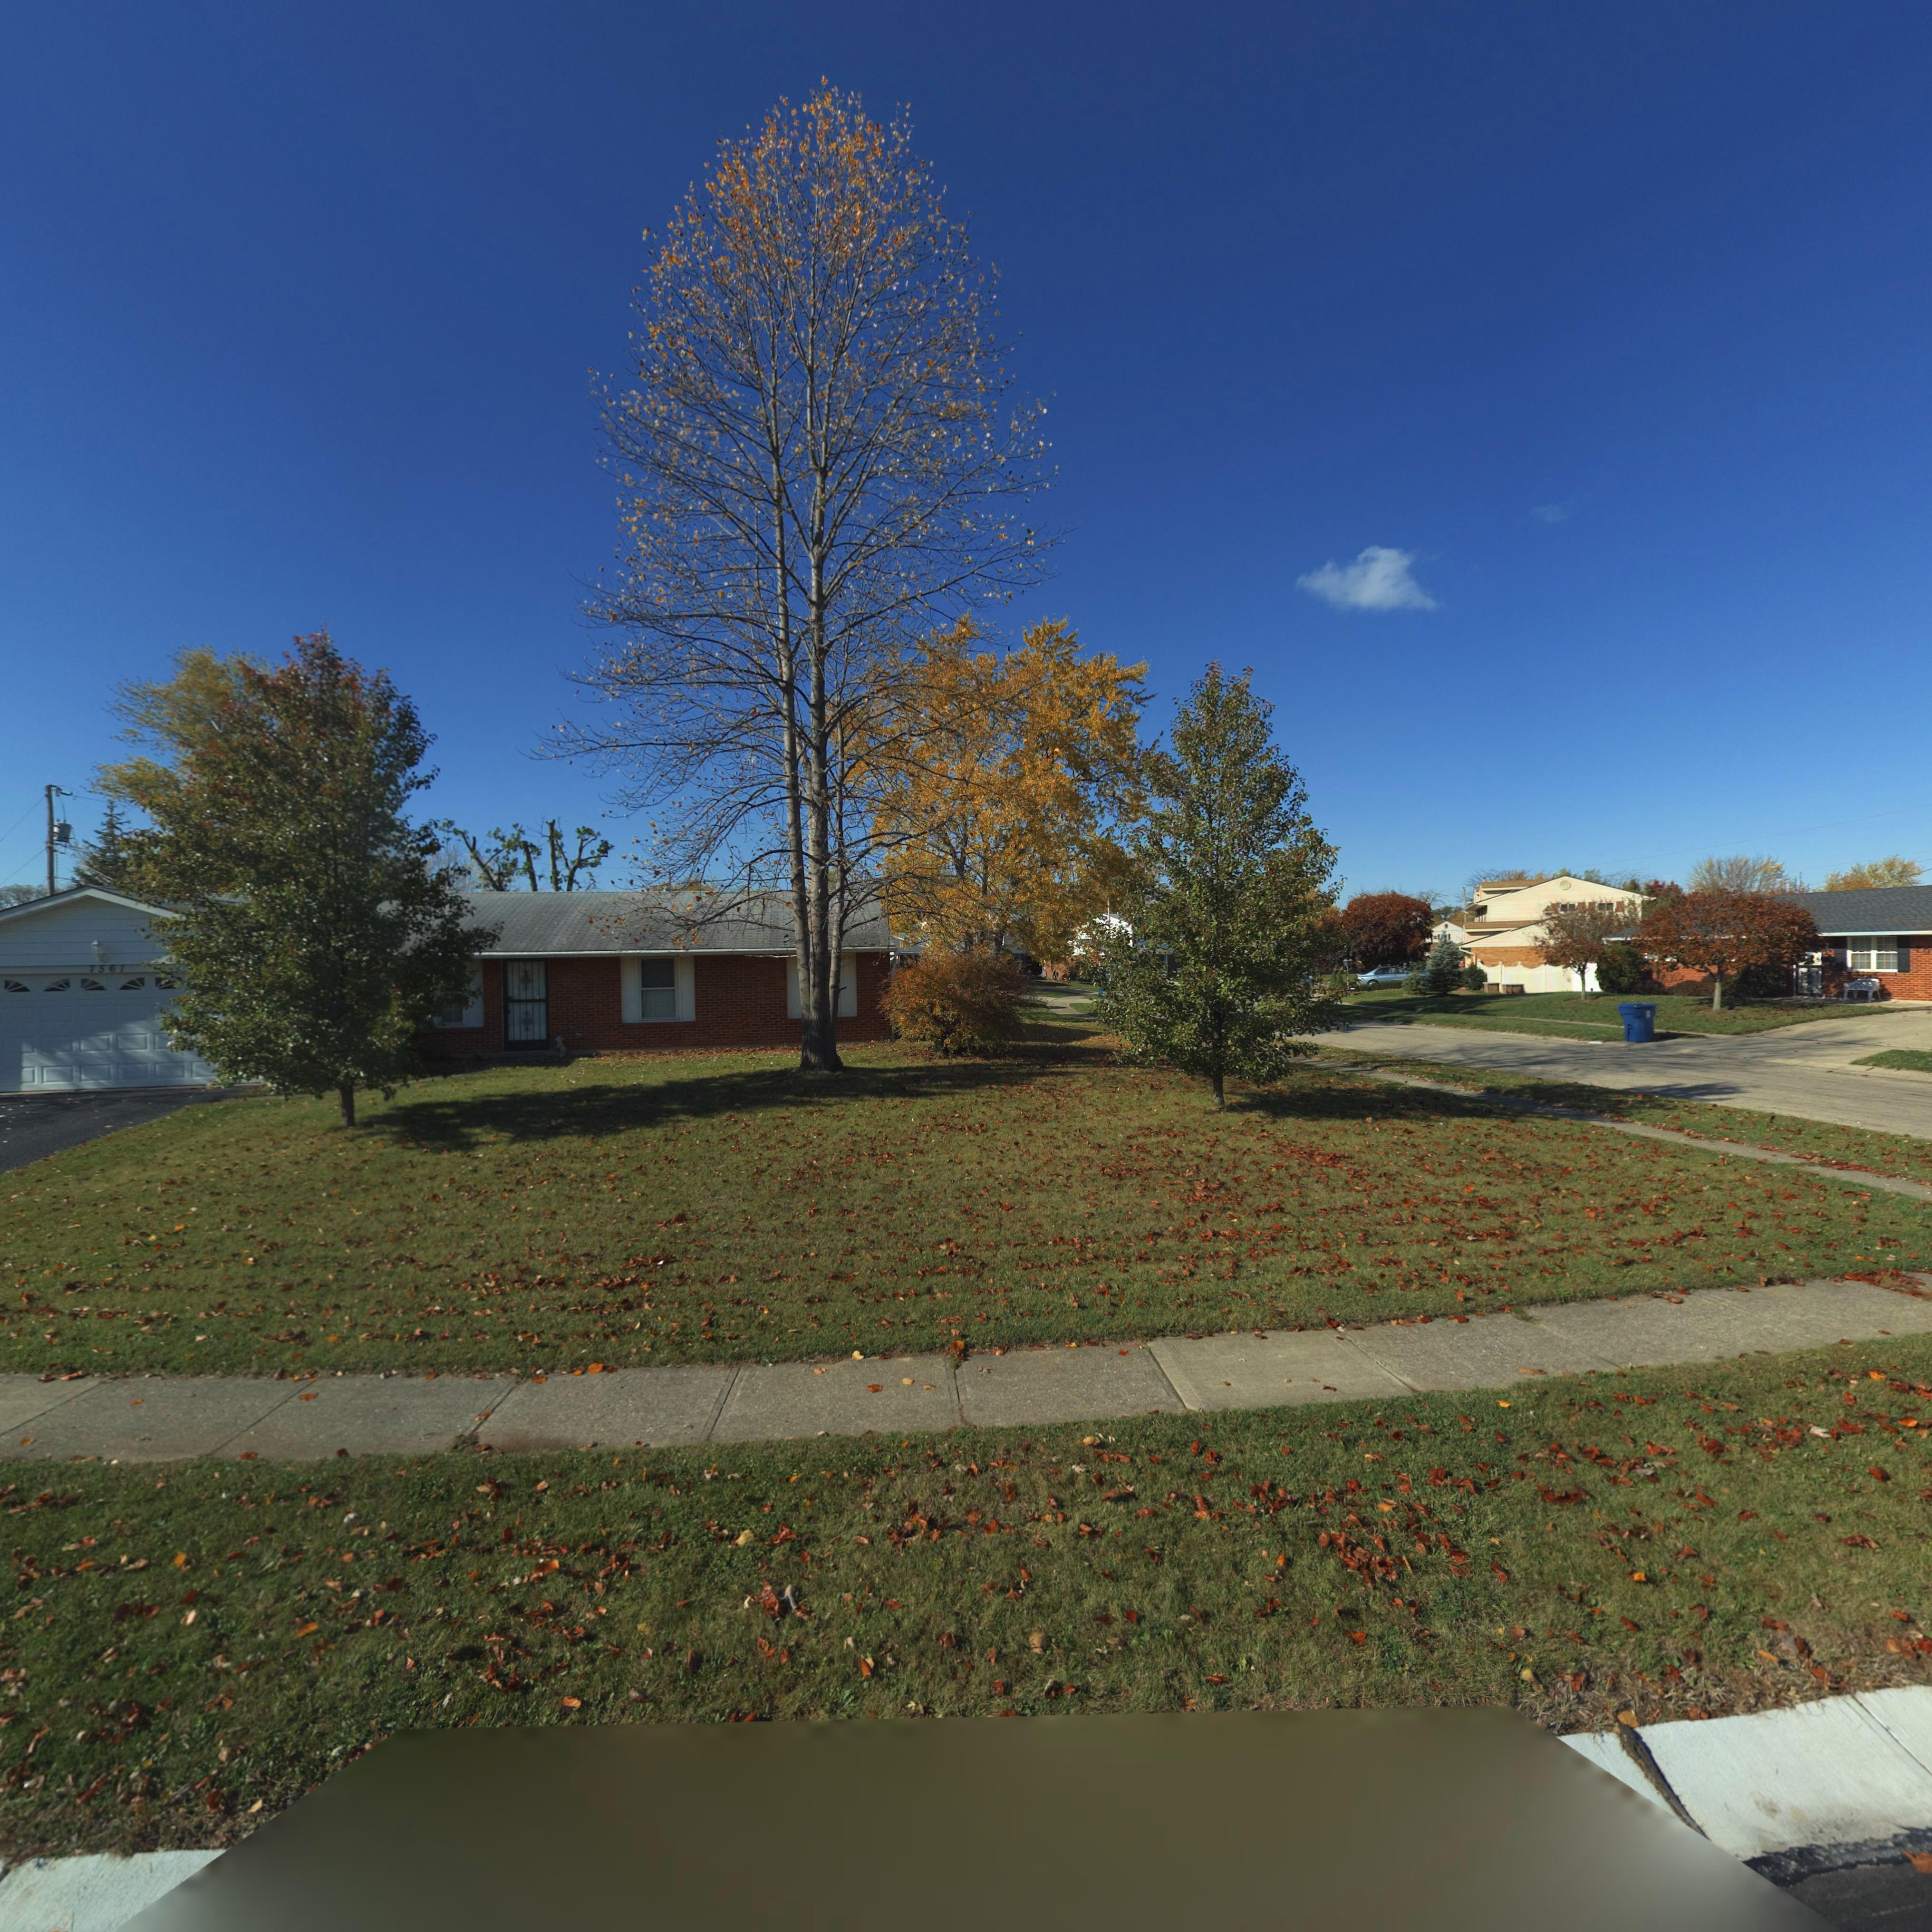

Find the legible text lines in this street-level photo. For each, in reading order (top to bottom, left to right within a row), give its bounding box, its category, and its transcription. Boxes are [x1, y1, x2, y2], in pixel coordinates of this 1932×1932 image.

[88, 964, 125, 973] StreetNumber: 7561